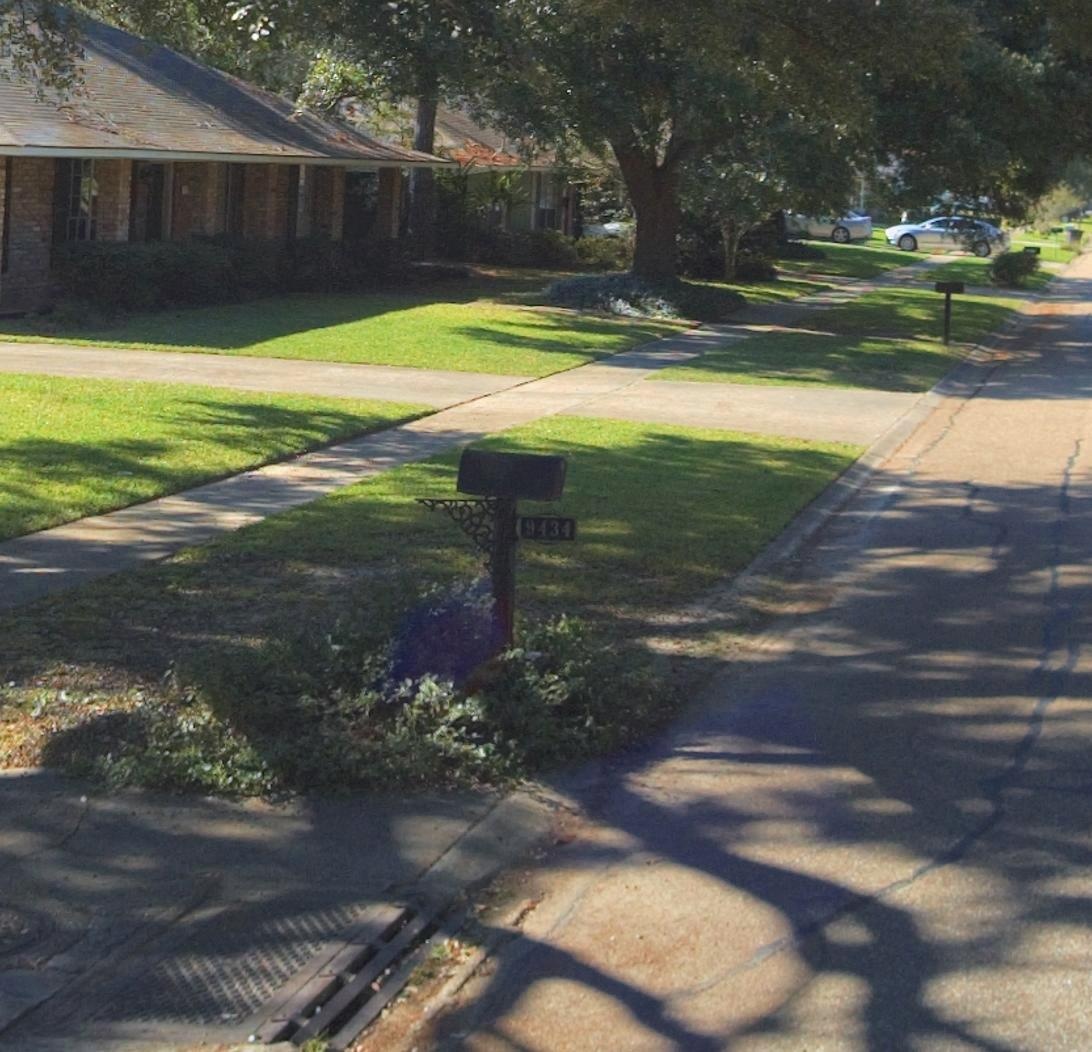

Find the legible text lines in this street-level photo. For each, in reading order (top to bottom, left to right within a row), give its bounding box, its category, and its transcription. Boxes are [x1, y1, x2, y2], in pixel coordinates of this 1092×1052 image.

[523, 518, 572, 538] StreetNumber: 9434